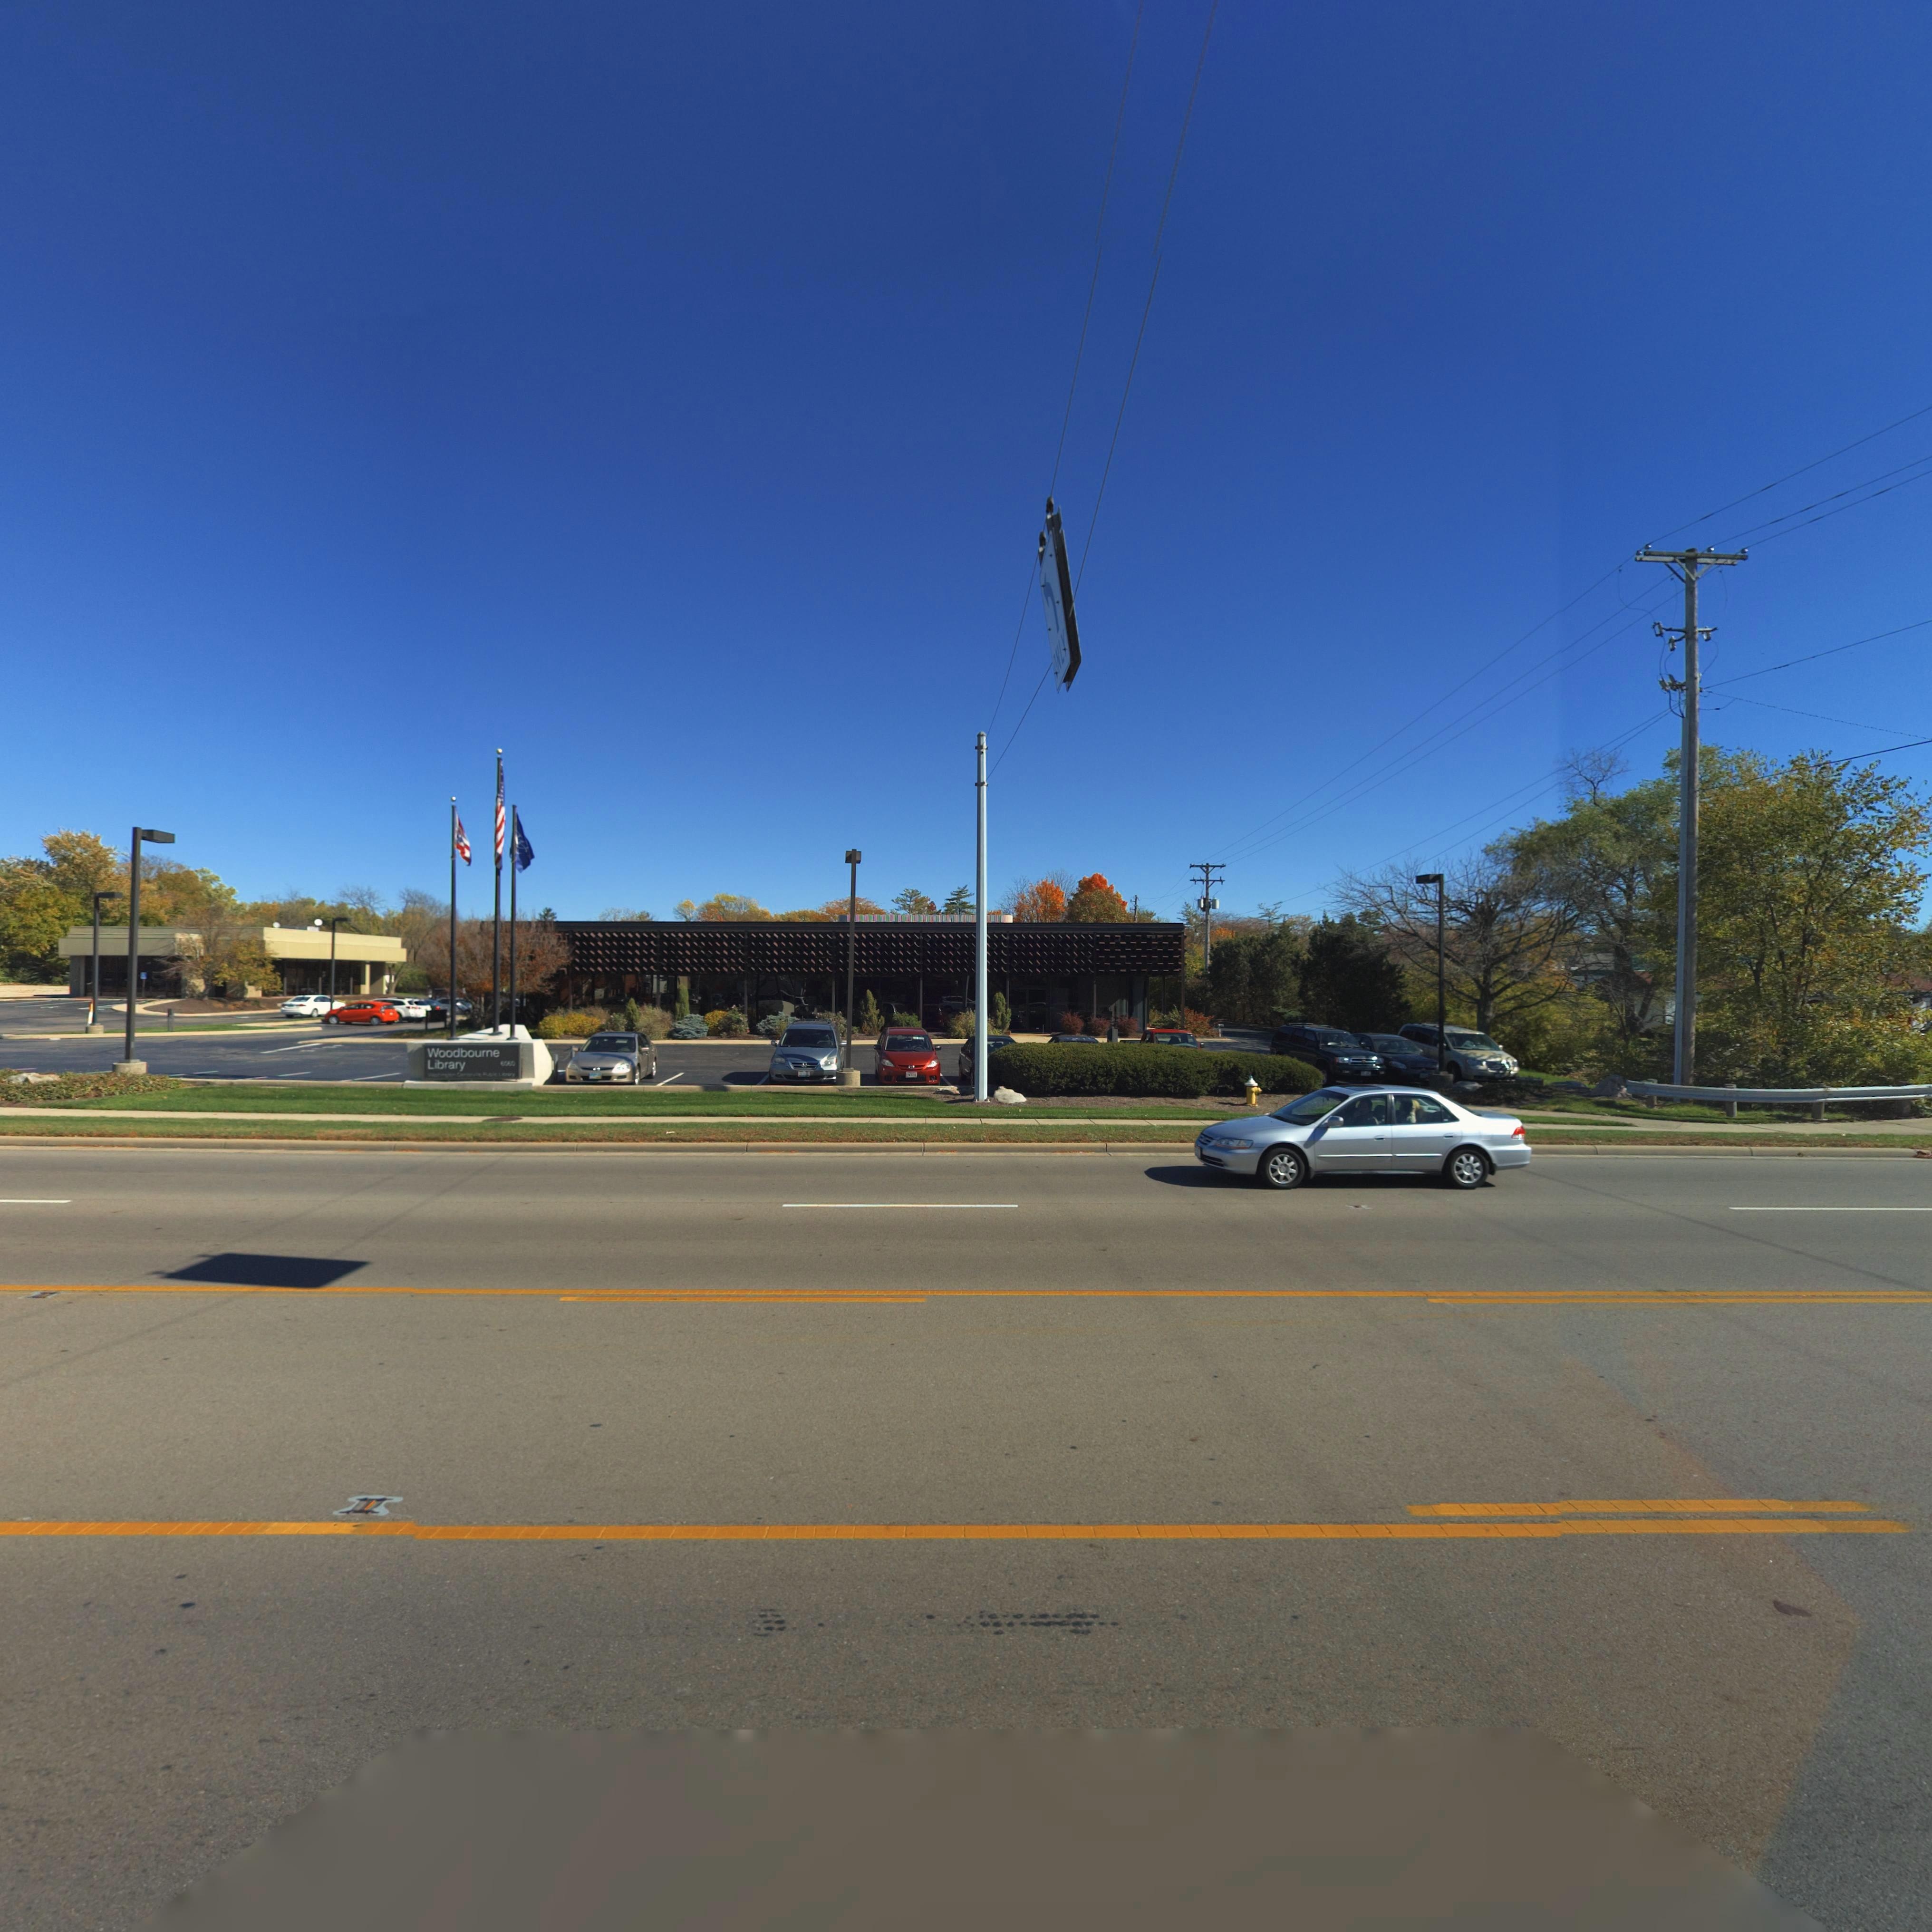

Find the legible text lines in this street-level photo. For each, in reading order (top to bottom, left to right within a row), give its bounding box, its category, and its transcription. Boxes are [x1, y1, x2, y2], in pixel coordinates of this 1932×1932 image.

[1052, 627, 1068, 681] StreetNumber: ONLY
[426, 1047, 501, 1058] BusinessName: Woodbourne
[426, 1059, 466, 1072] BusinessName: Library
[499, 1060, 516, 1067] StreetNumber: *0*0
[482, 1071, 515, 1078] None: Public Library